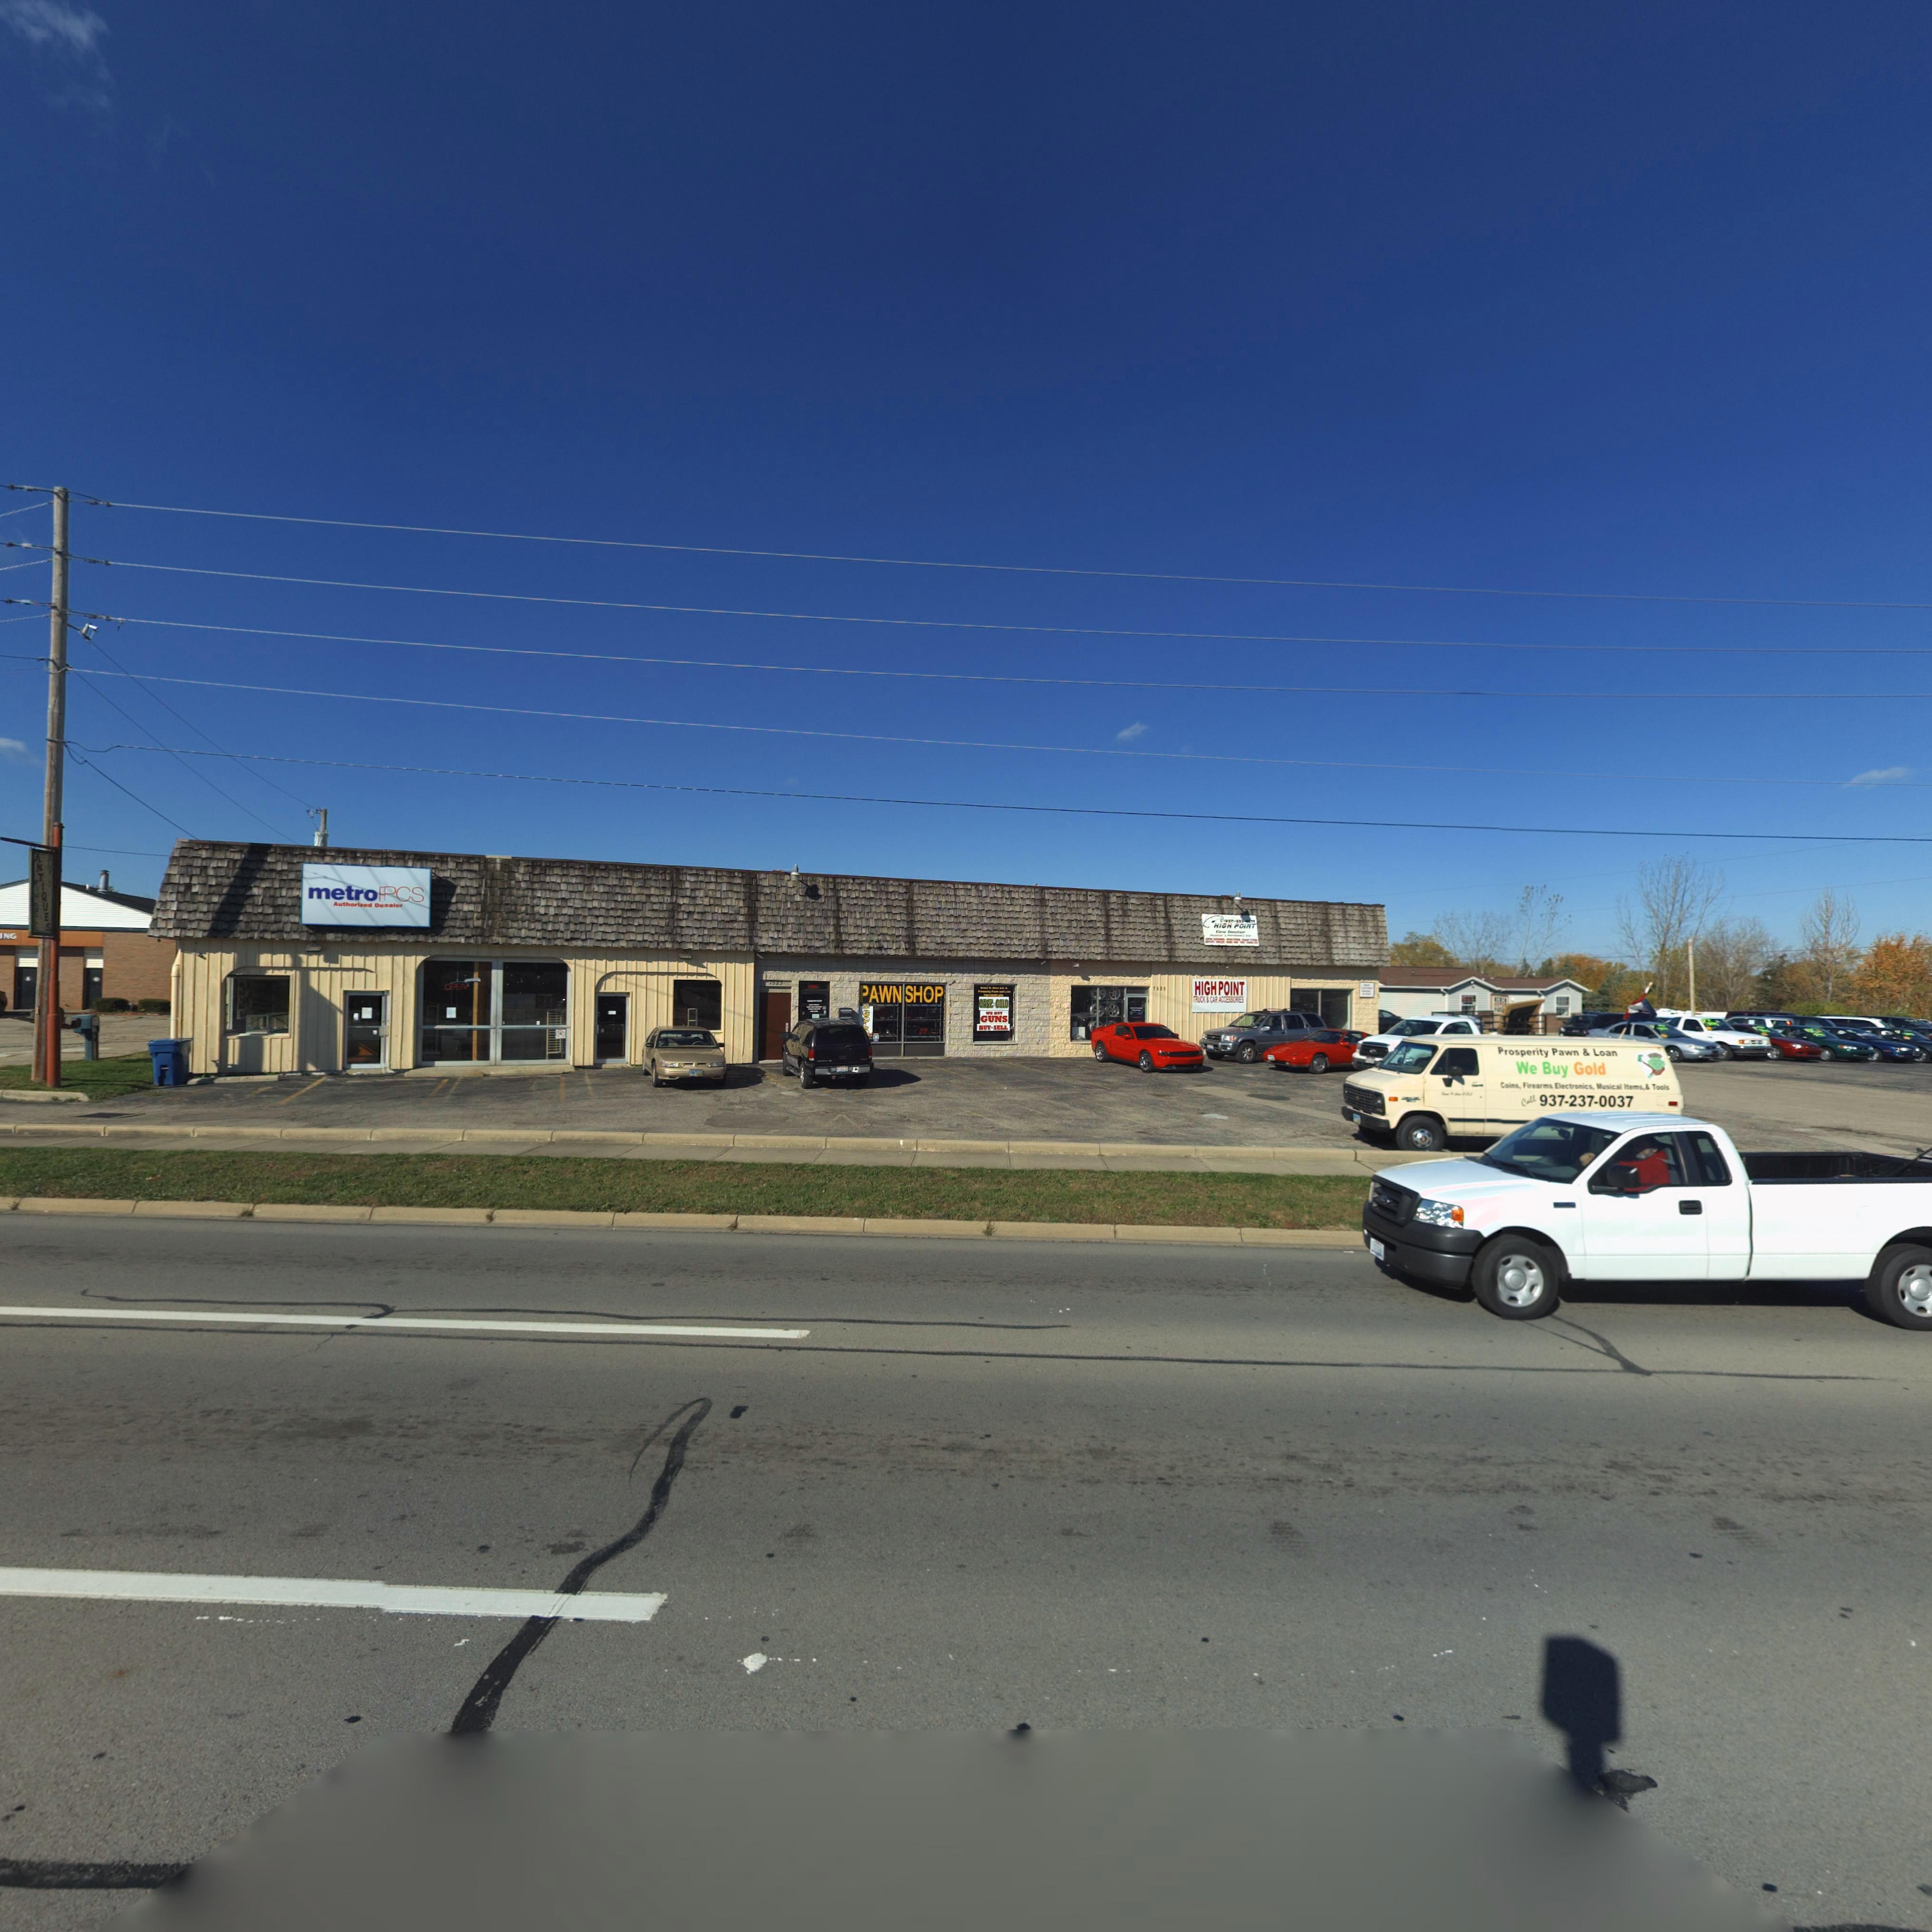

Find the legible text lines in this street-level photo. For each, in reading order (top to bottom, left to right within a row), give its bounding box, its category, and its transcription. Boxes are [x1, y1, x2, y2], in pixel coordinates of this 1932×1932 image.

[33, 851, 52, 932] BusinessName: ANTIQUES
[308, 885, 425, 904] BusinessName: metro*PCS
[1213, 922, 1257, 929] BusinessName: HIGH POINT
[768, 980, 784, 986] StreetNumber: 7523
[1152, 986, 1167, 991] StreetNumber: 7525
[978, 998, 1009, 1009] BusinessName: CASH*GOLD